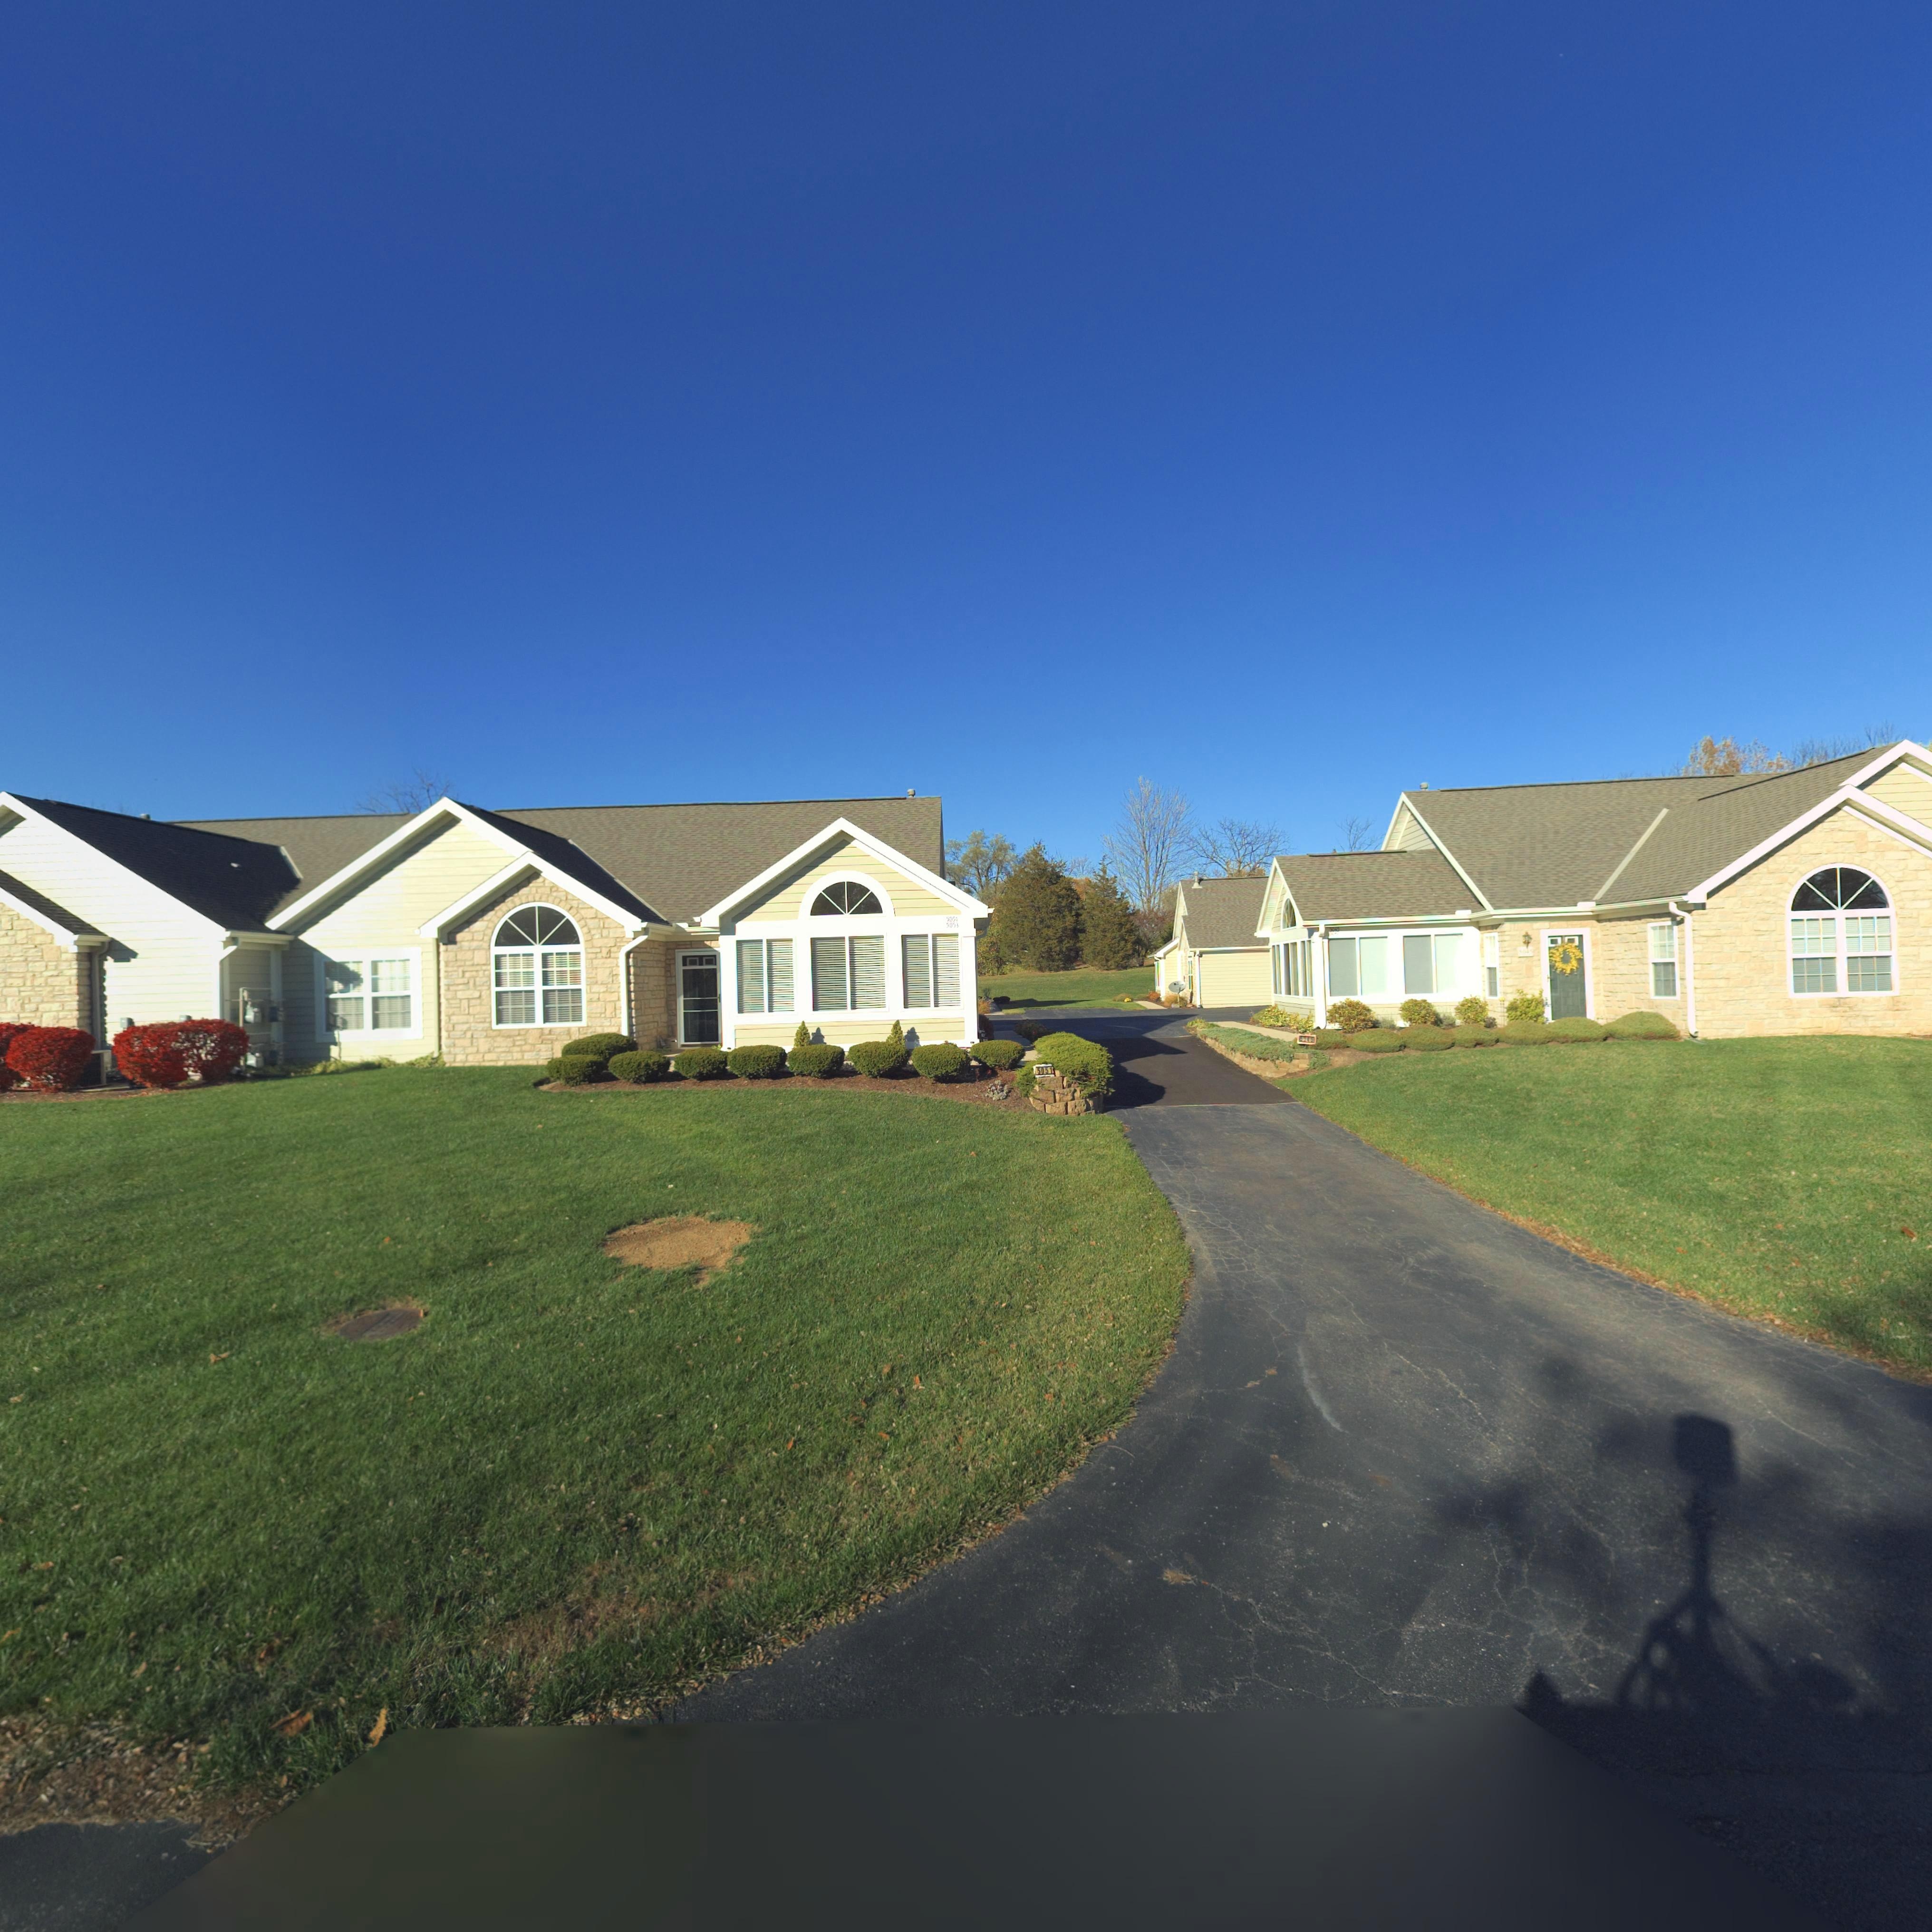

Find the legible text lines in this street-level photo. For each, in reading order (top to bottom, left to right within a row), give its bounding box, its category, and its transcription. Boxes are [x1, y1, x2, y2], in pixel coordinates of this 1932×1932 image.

[1299, 1035, 1314, 1043] StreetNumber: **45
[1036, 1066, 1053, 1075] StreetNumber: 5051